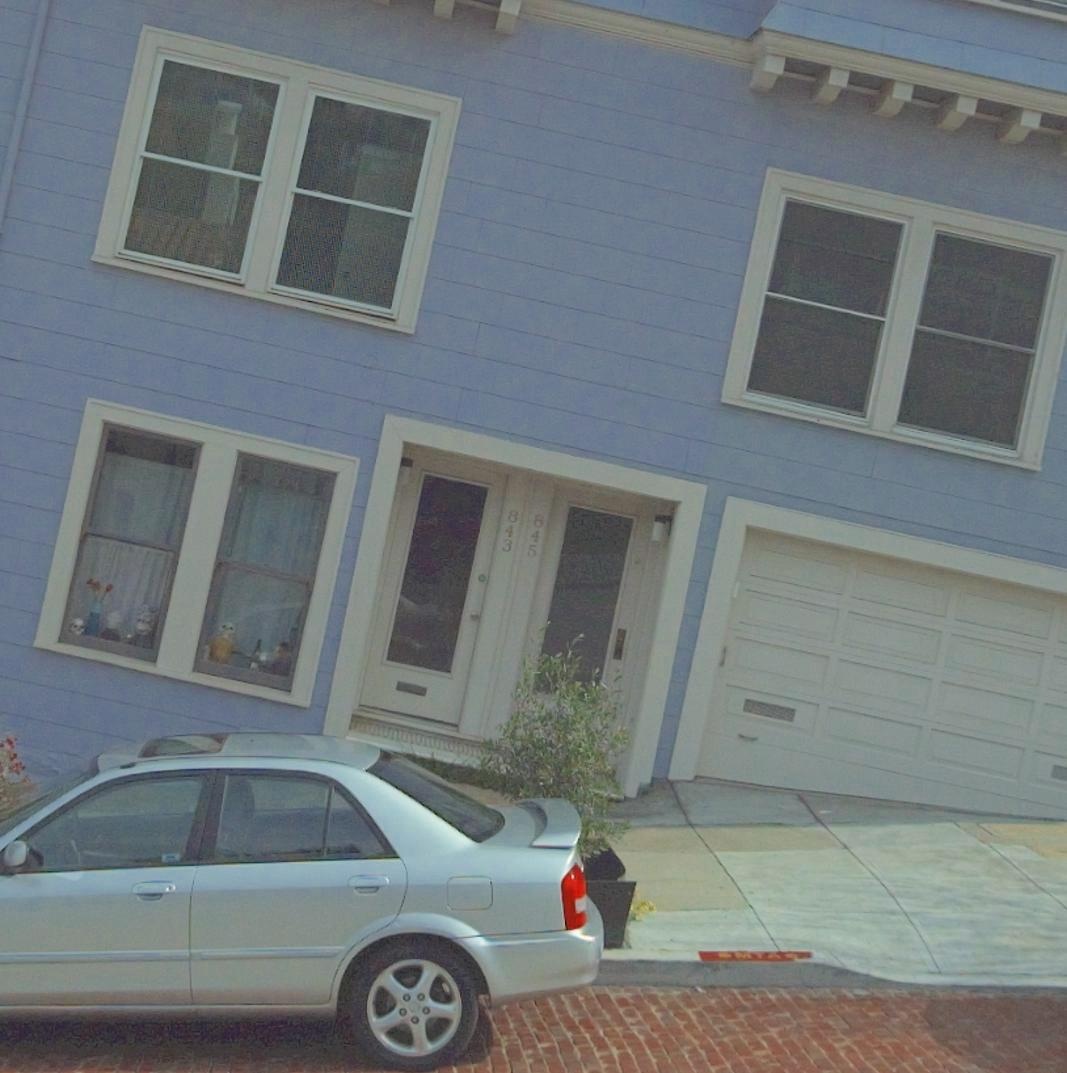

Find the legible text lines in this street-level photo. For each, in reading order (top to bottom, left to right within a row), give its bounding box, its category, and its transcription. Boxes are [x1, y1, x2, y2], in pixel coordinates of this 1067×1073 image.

[498, 506, 522, 555] StreetNumber: 843
[525, 511, 547, 560] StreetNumber: 845
[715, 950, 803, 961] None: -MTA-